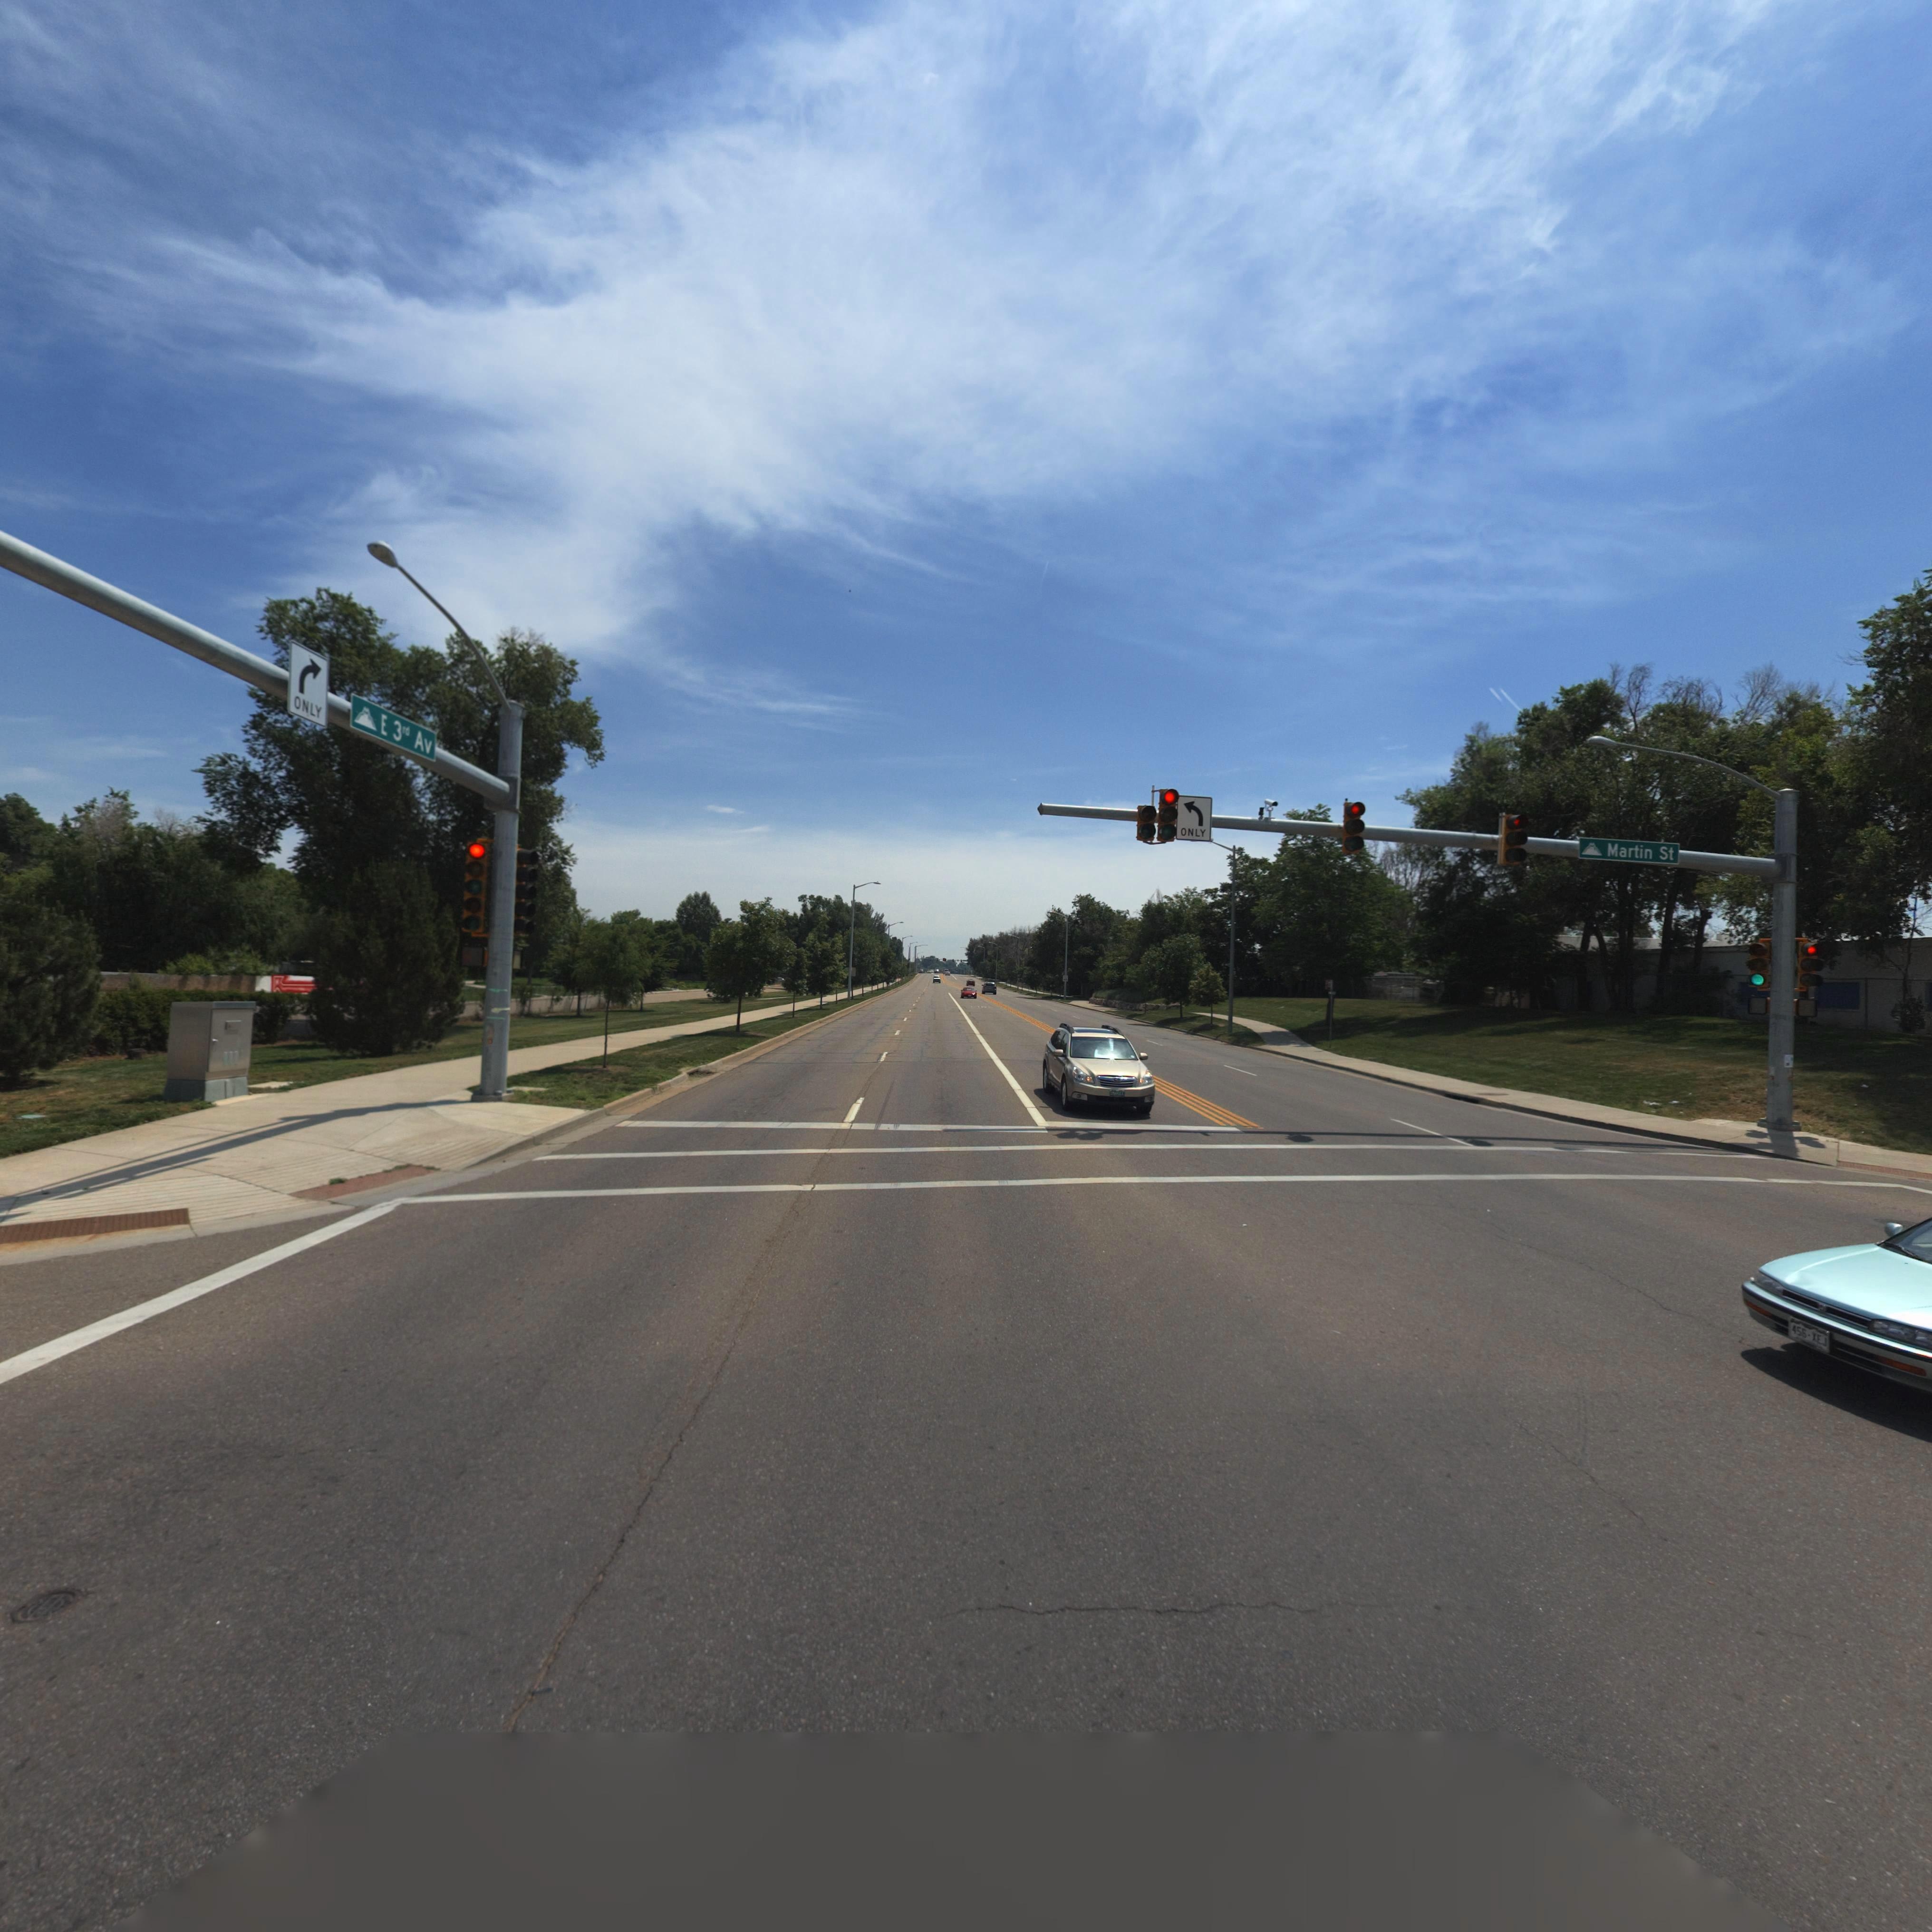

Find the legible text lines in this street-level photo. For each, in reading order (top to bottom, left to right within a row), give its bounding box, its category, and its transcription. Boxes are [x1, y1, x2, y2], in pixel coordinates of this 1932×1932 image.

[380, 712, 433, 754] StreetName: E 3rd Av
[1606, 842, 1674, 861] StreetName: Martin St